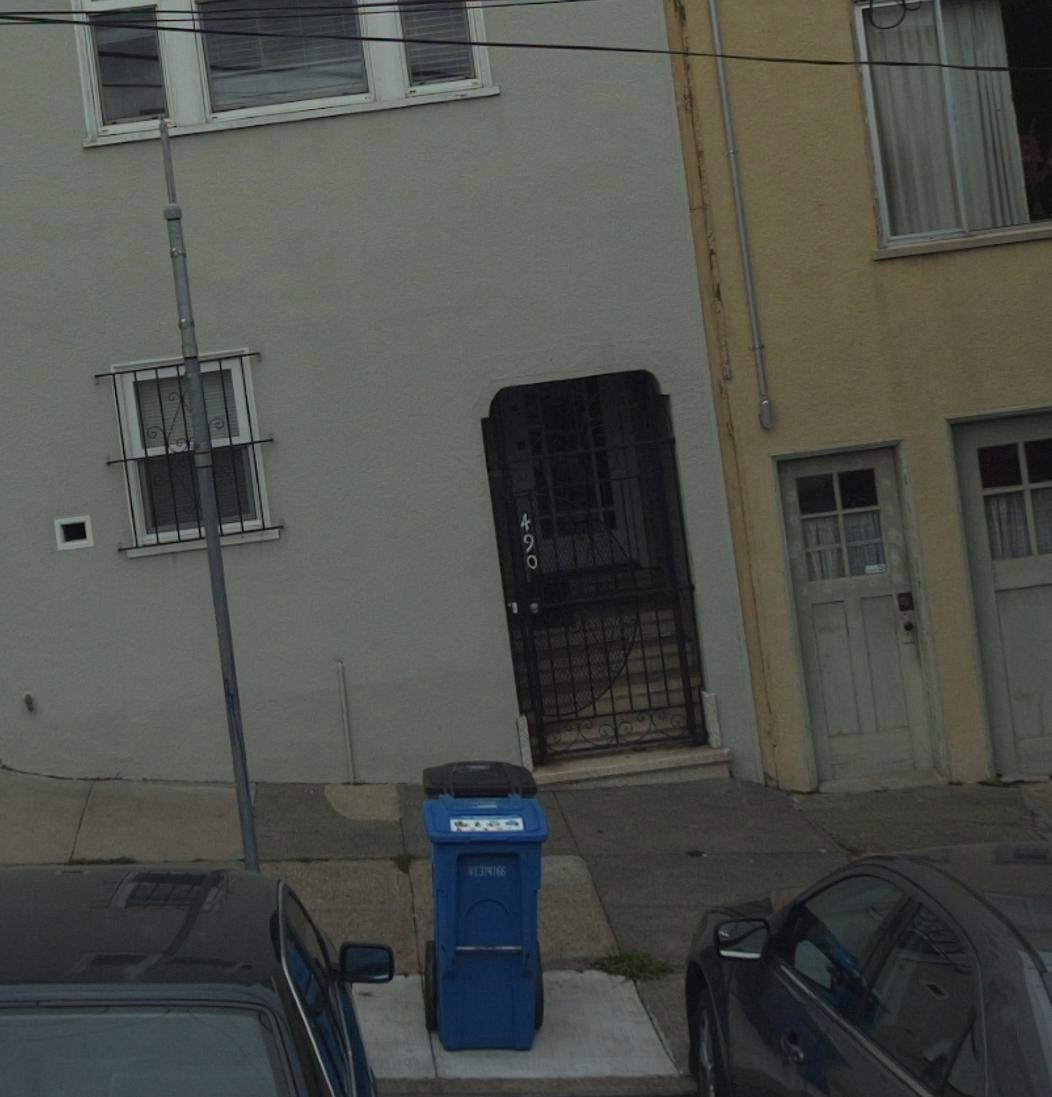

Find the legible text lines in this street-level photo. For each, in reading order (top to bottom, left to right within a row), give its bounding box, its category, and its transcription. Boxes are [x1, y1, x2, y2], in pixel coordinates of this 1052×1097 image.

[517, 510, 541, 574] StreetNumber: 490
[468, 865, 507, 877] None: WE314165